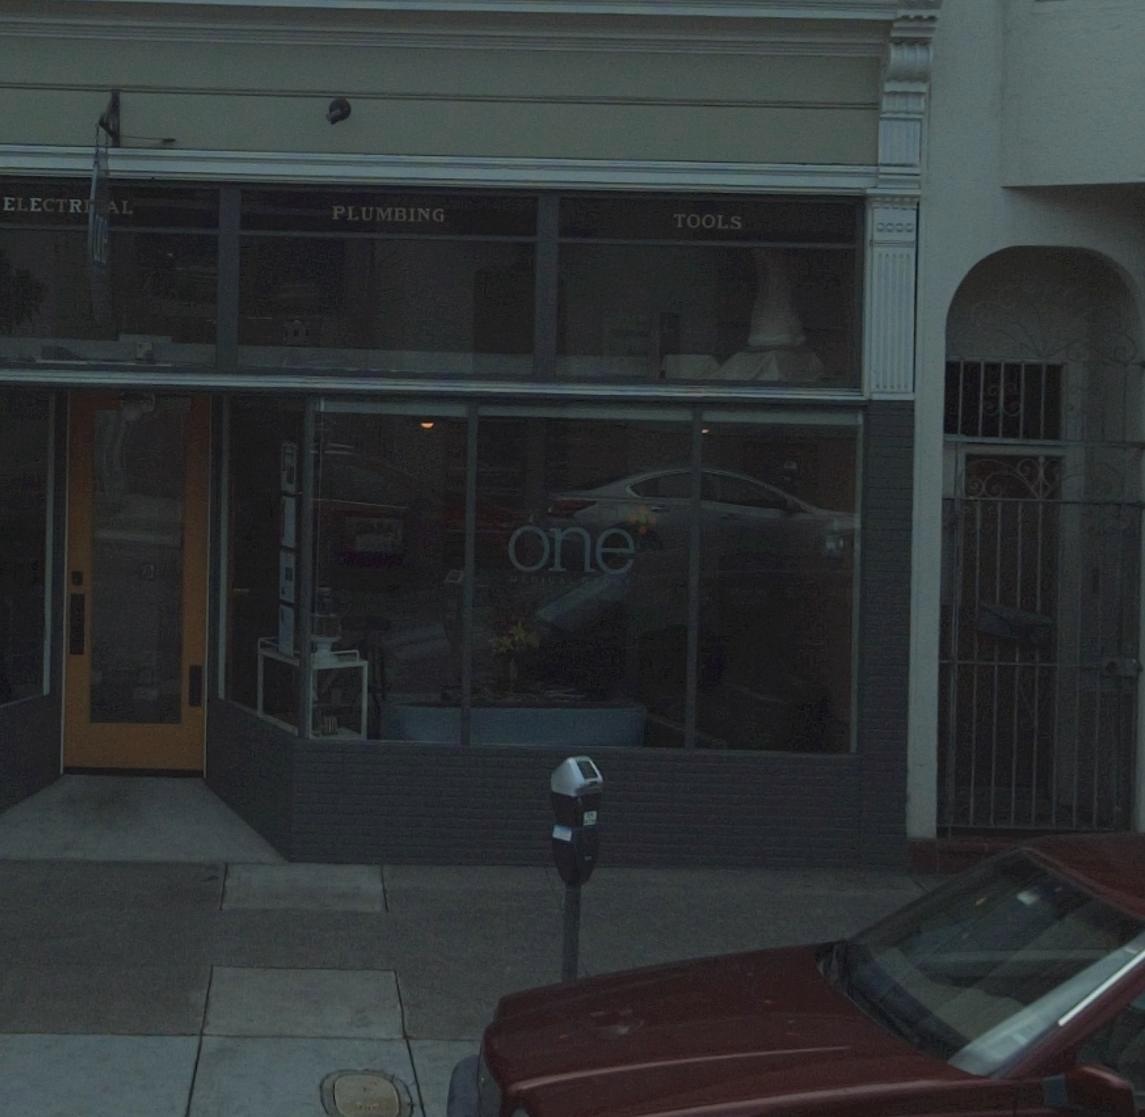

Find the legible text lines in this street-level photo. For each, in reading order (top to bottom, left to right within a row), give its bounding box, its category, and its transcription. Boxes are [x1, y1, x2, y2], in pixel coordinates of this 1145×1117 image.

[2, 194, 136, 218] None: ELECTRI*AL
[330, 203, 446, 225] None: PLUMBING
[671, 211, 745, 232] None: TOOLS
[507, 523, 637, 577] BusinessName: one